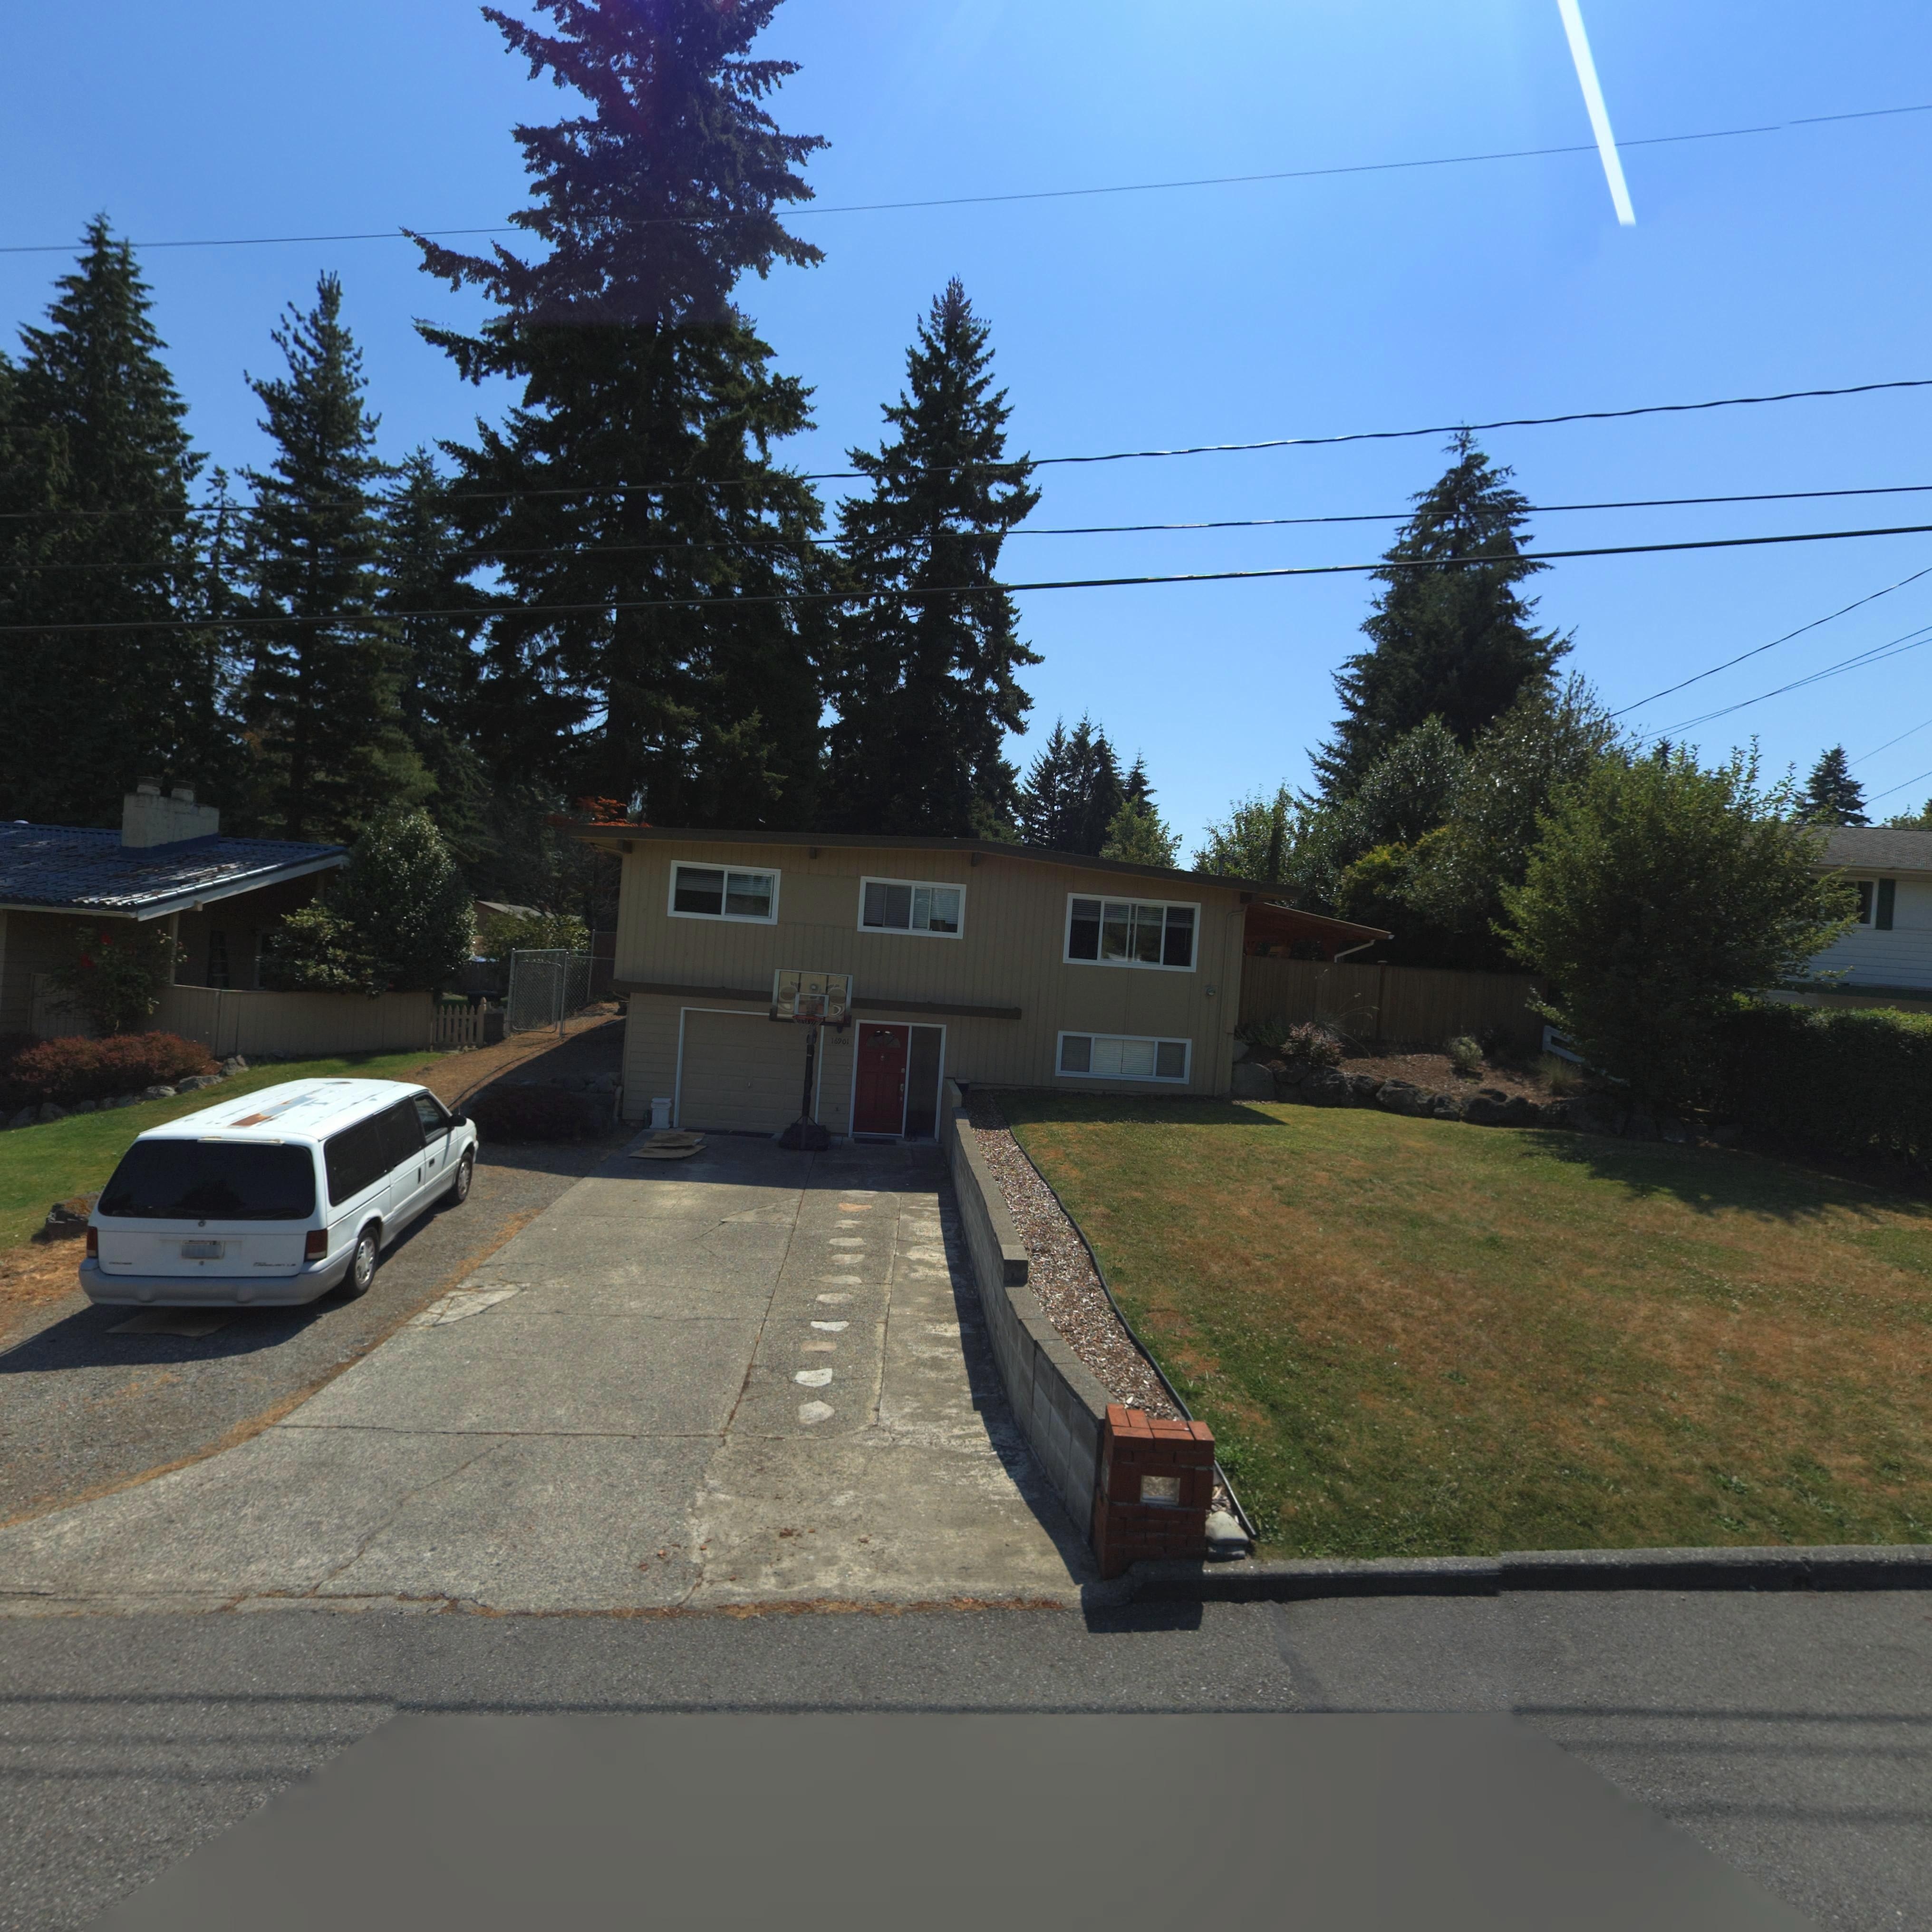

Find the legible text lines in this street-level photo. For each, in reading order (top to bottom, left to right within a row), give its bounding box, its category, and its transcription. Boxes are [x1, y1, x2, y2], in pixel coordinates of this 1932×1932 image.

[831, 1037, 850, 1045] StreetNumber: 16901